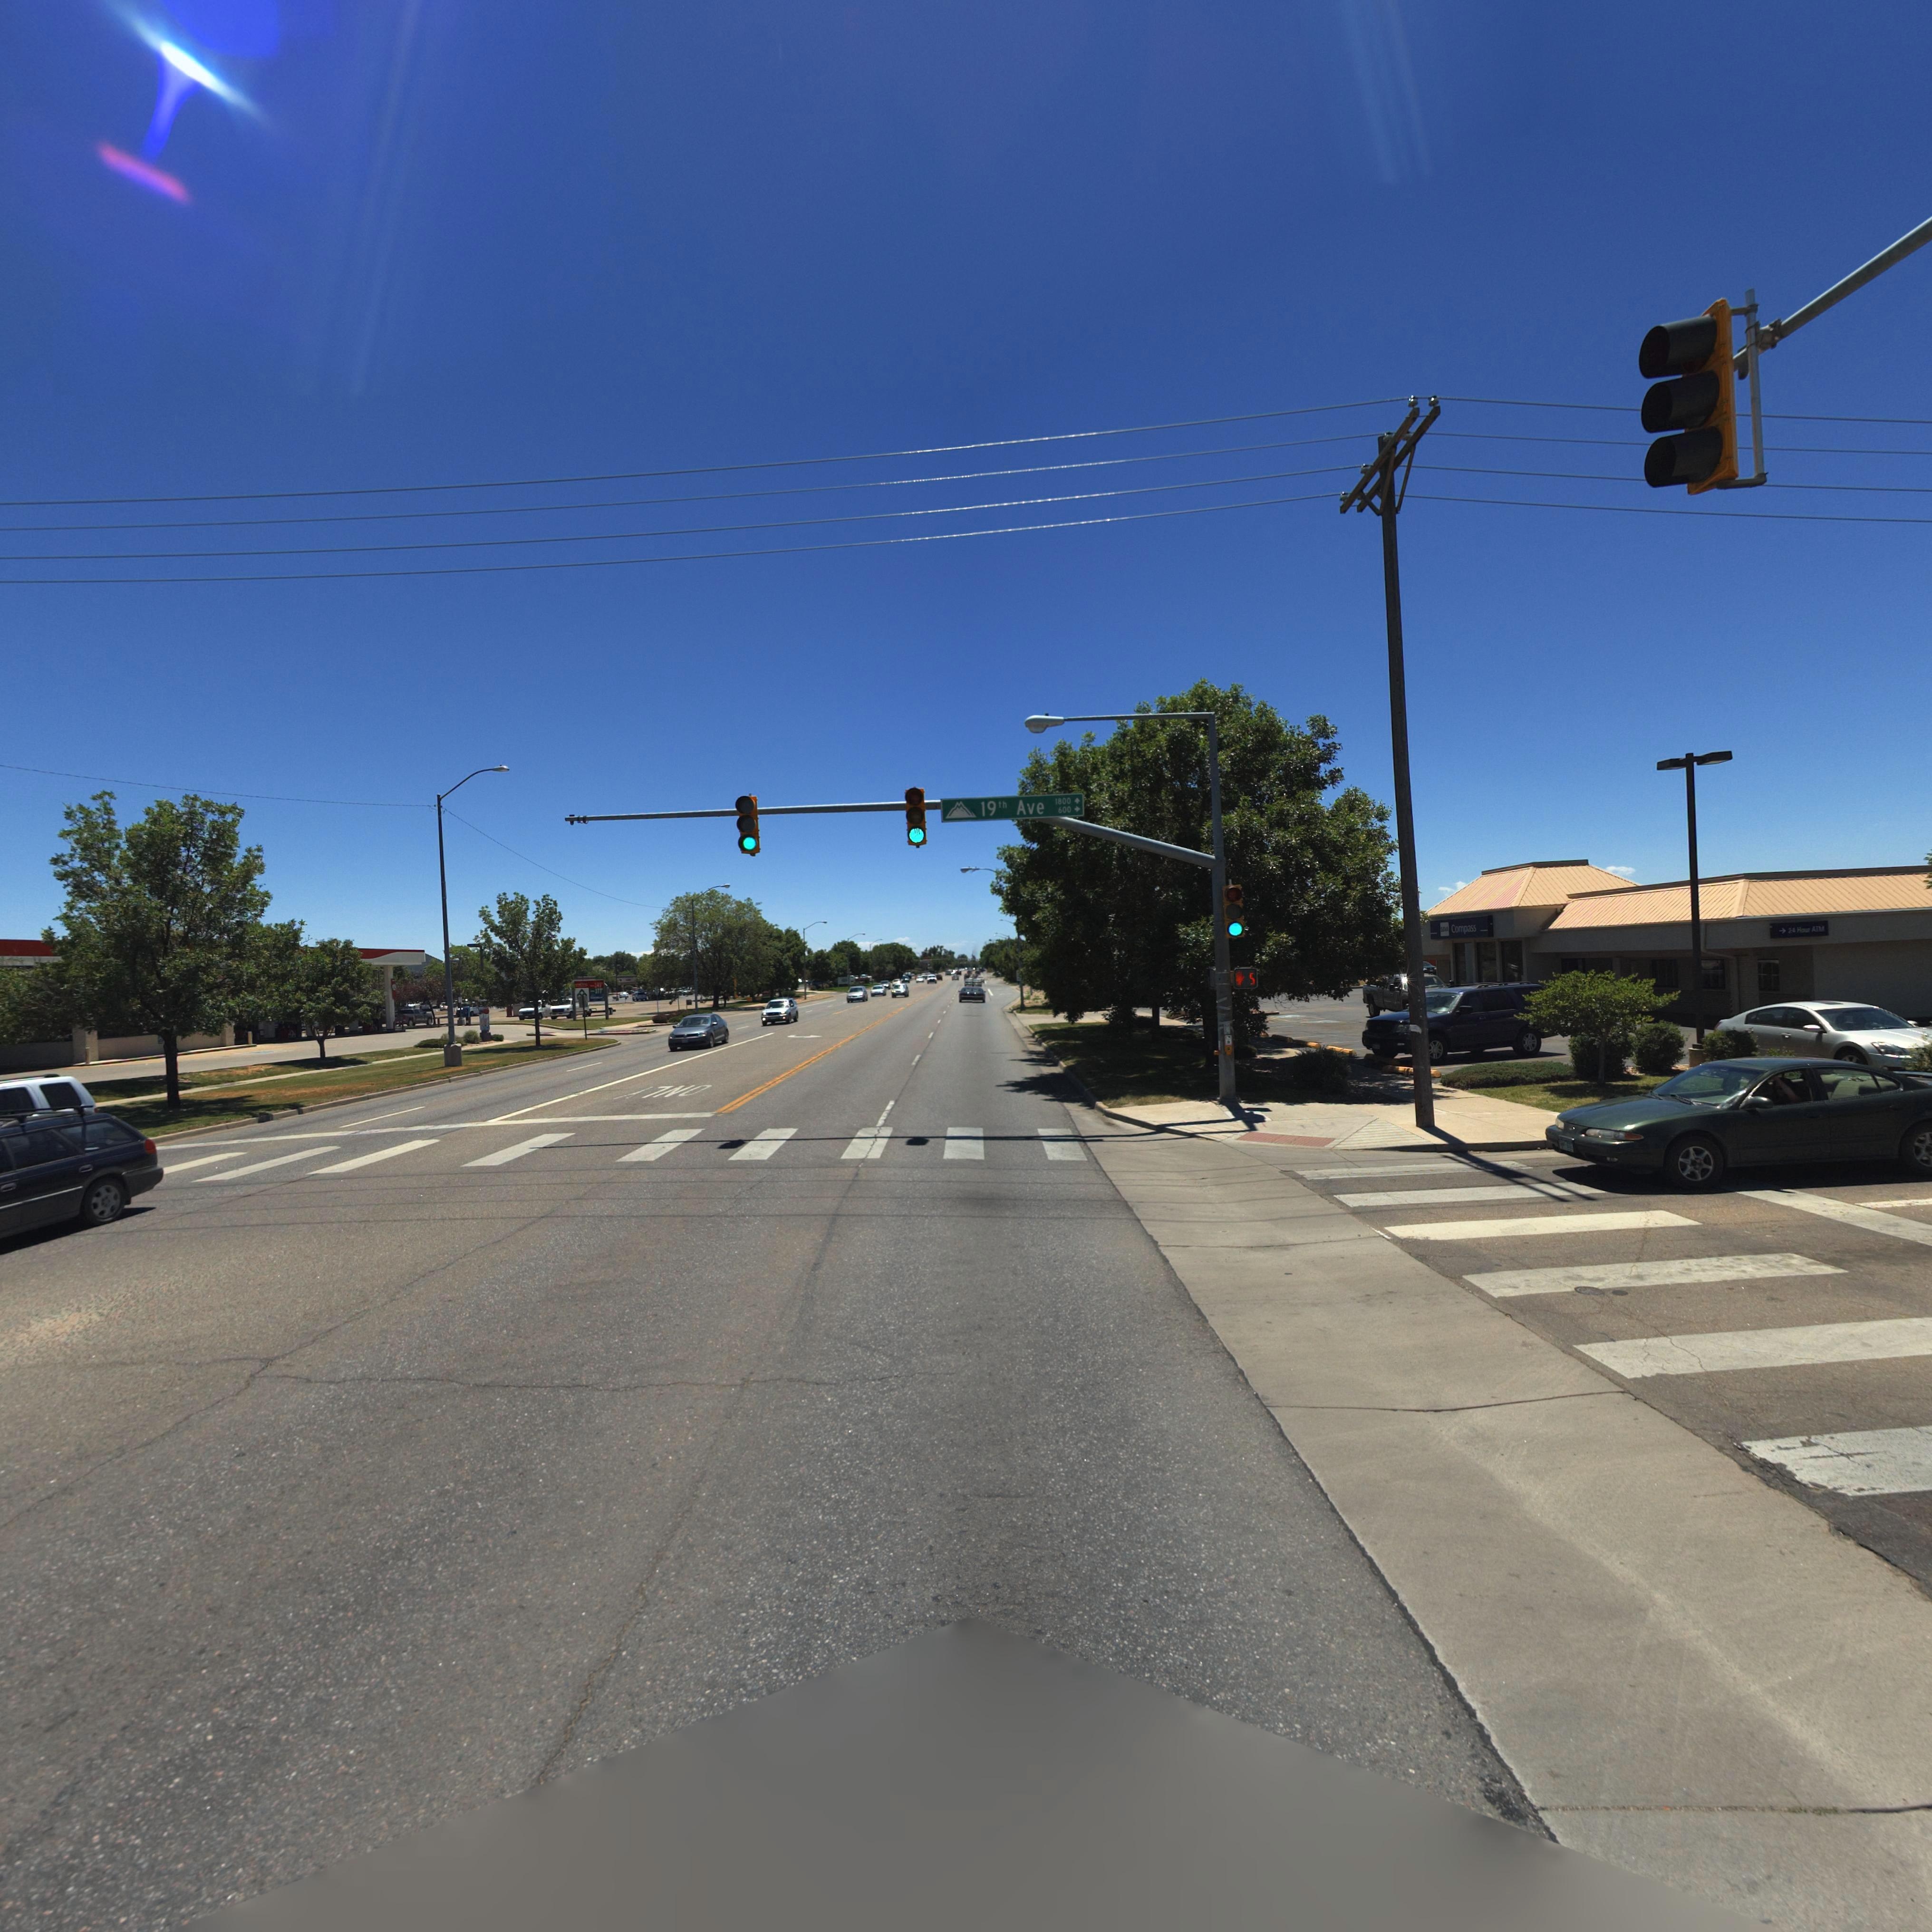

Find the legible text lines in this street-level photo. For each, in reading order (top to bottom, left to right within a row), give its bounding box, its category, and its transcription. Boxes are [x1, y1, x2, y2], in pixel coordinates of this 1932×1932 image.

[1054, 797, 1071, 805] StreetNumberRange: 1800
[980, 799, 1044, 817] StreetName: 19th Ave
[1058, 805, 1081, 813] StreetNumberRange: 600 ->
[1440, 926, 1449, 932] BusinessName: BB*A
[1450, 924, 1477, 935] BusinessName: Compass